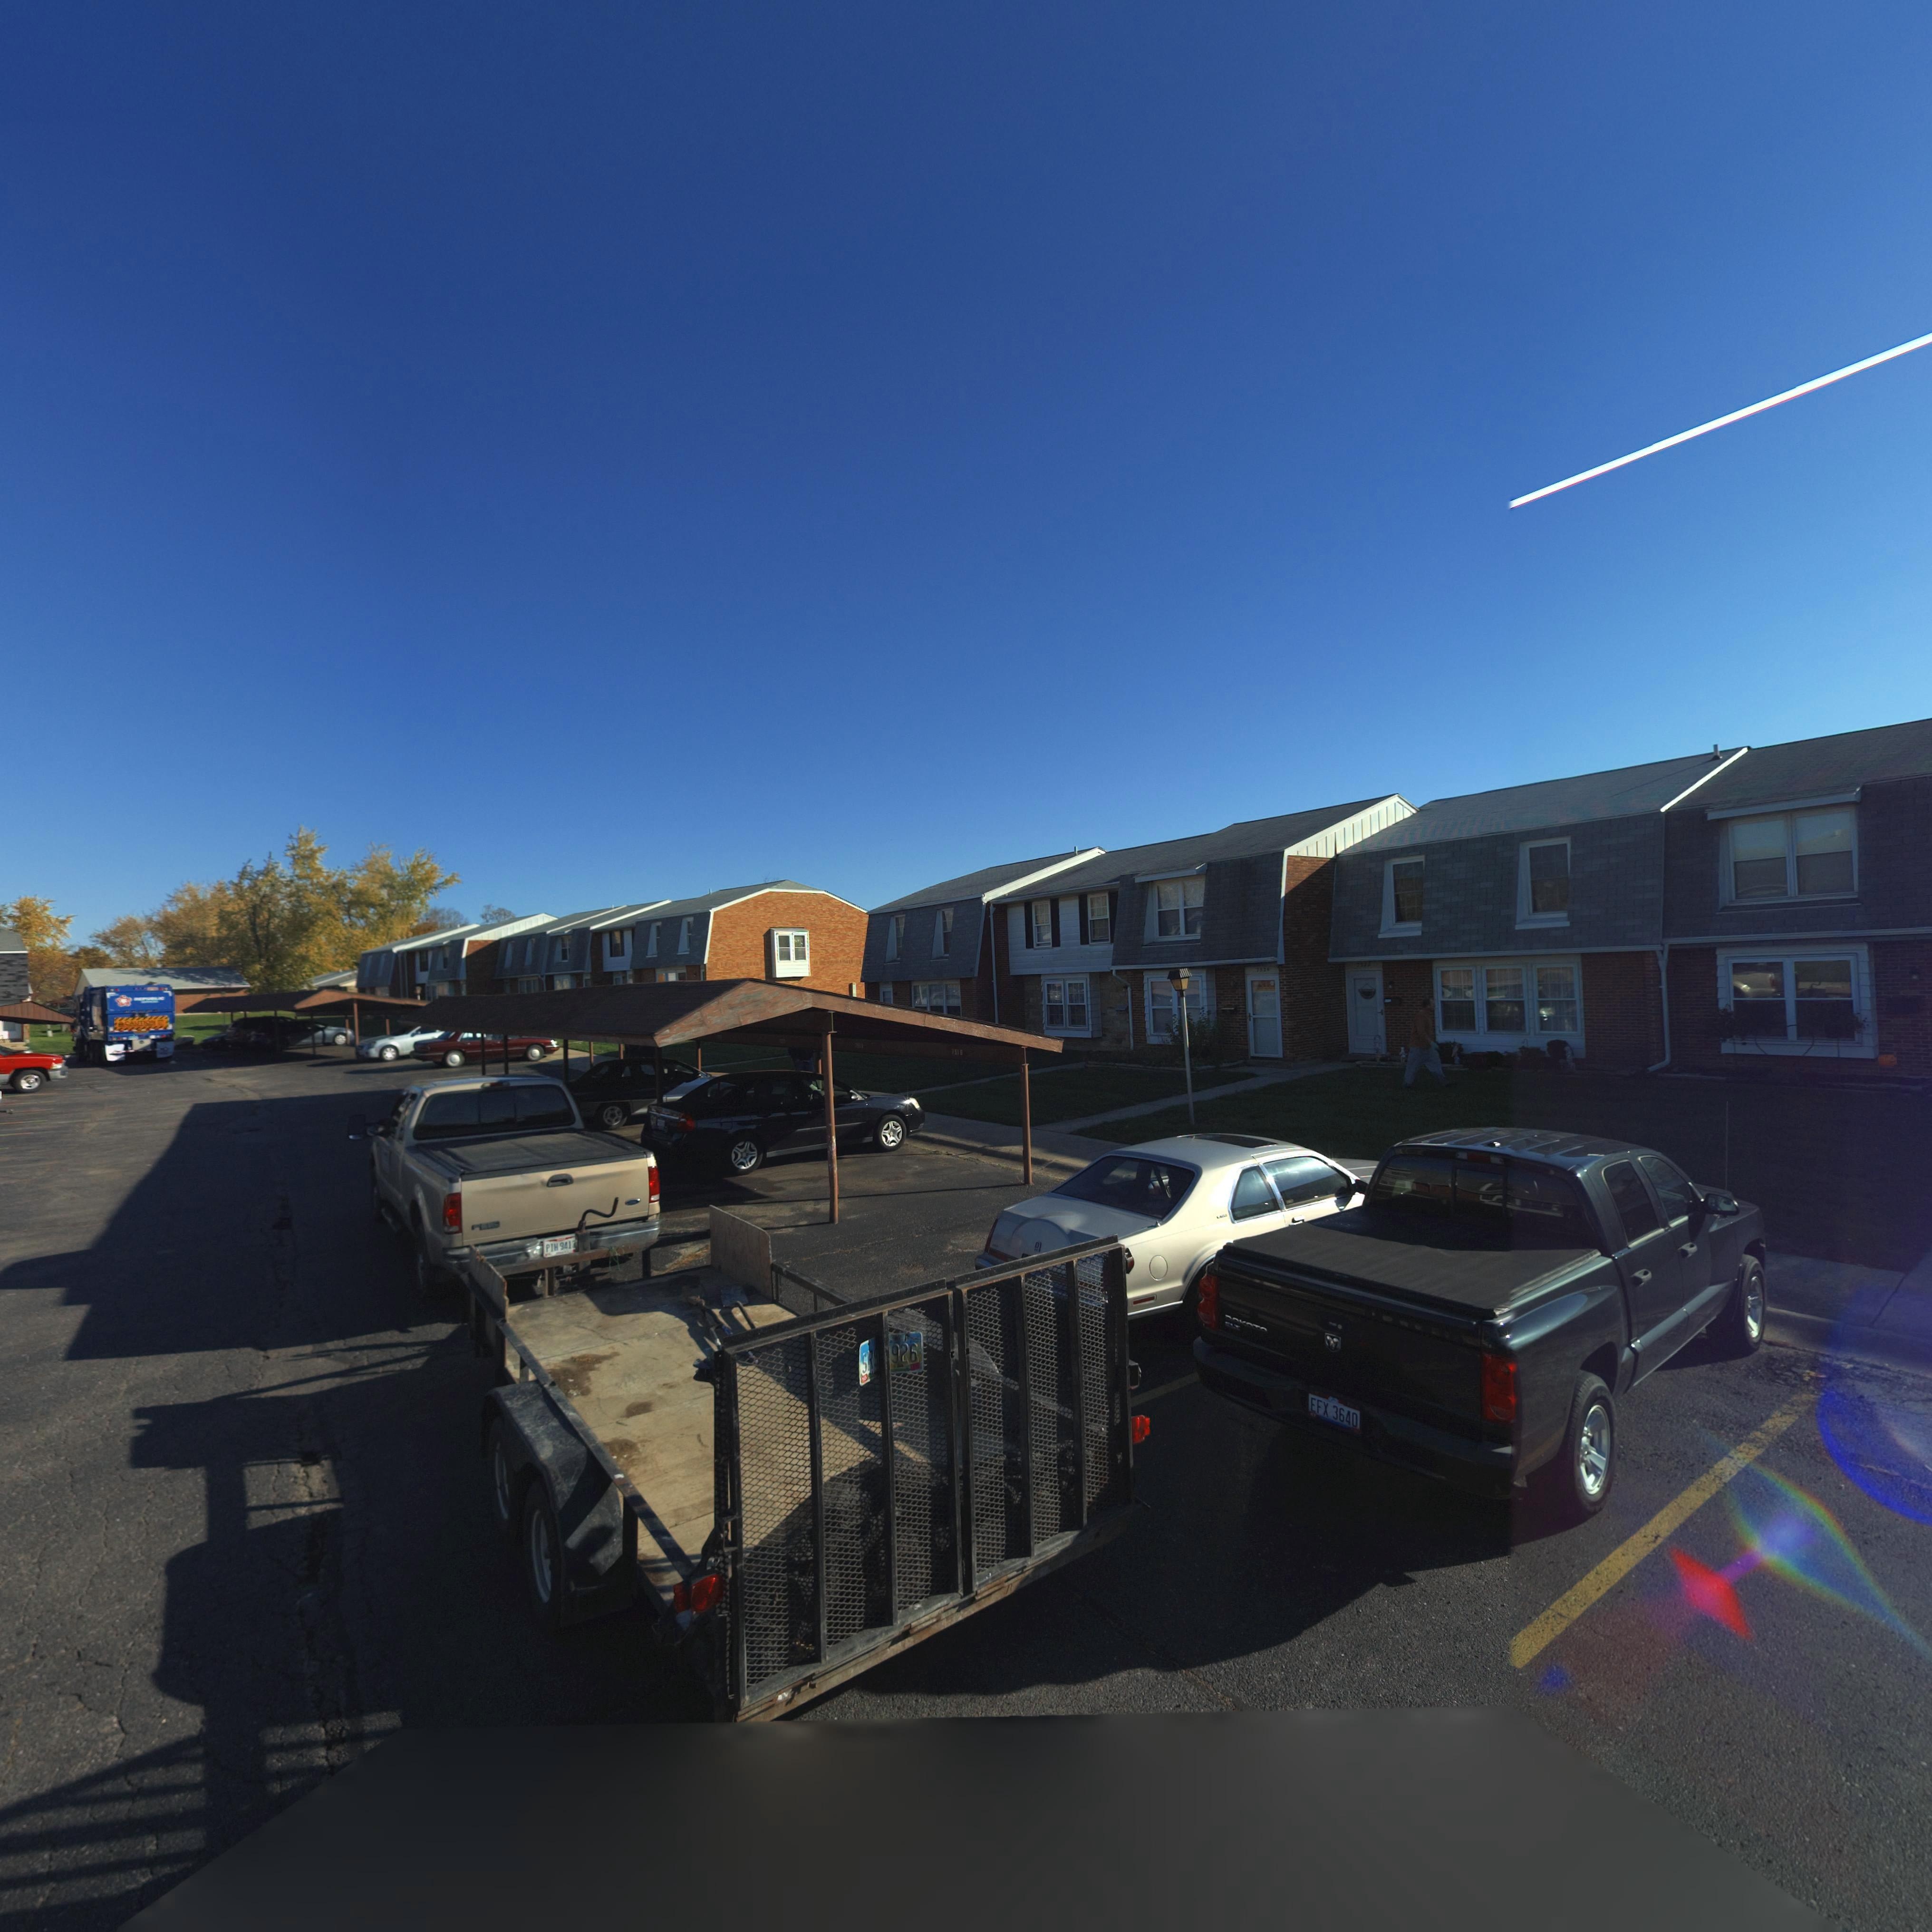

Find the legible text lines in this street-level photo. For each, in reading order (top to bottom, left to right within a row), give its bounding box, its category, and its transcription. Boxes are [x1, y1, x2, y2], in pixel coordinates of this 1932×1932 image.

[1356, 961, 1372, 968] StreetNumber: 7522
[1255, 967, 1270, 973] StreetNumber: 7524
[855, 1043, 864, 1049] StreetNumber: 751*
[951, 1048, 963, 1055] StreetNumber: 7516